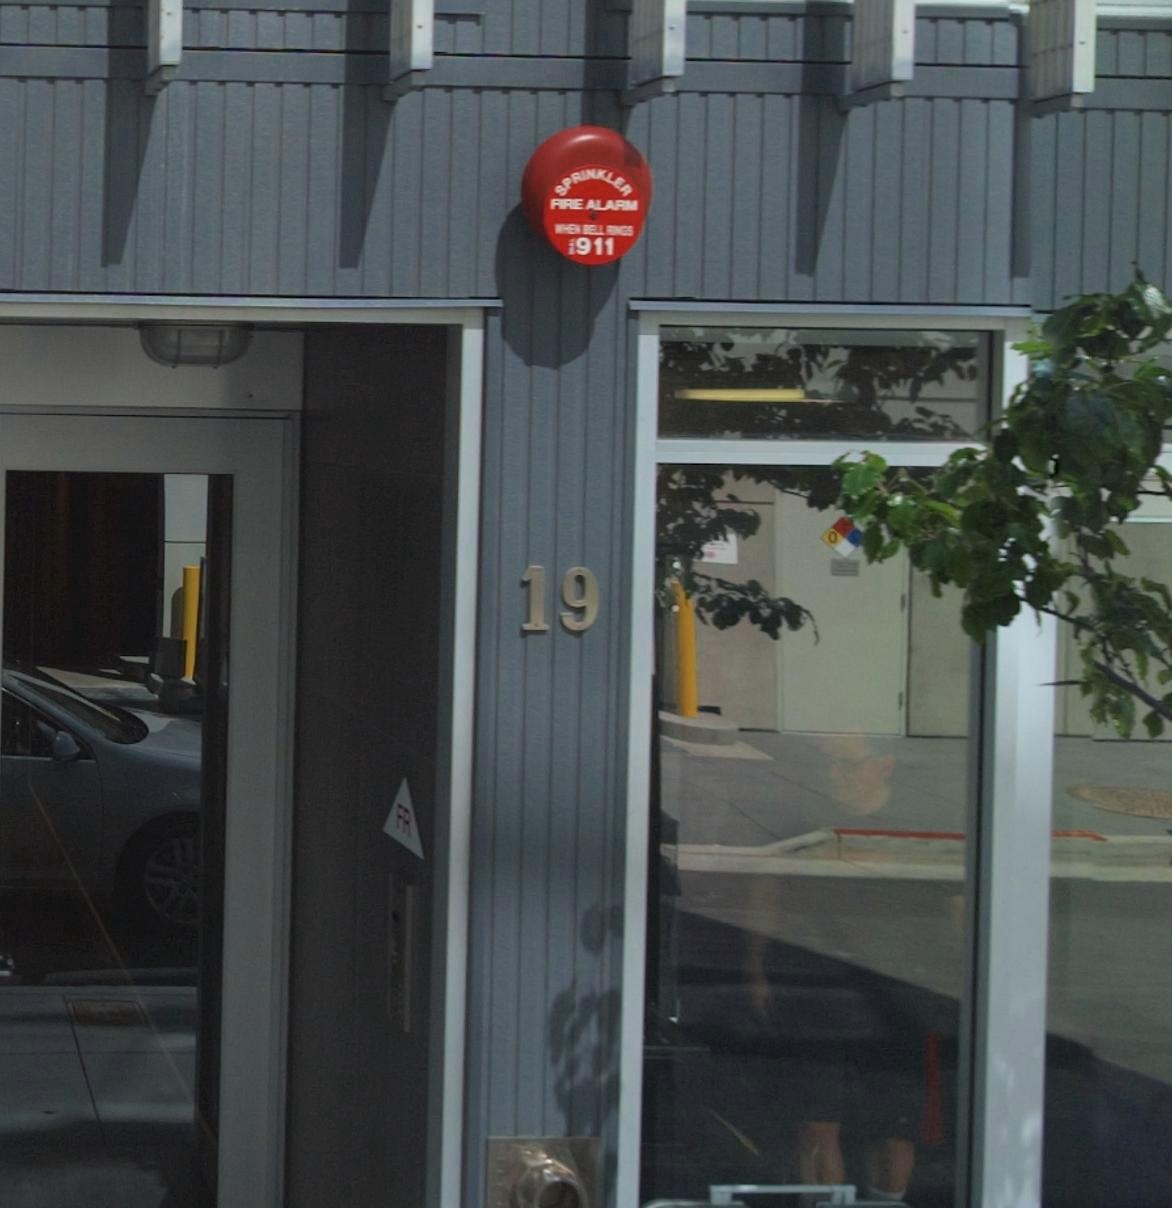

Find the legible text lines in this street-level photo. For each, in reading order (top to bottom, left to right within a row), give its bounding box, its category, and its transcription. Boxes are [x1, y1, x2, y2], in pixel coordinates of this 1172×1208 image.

[553, 165, 636, 198] None: SPRINKLER
[548, 197, 639, 212] None: FIRE ALARM
[552, 222, 636, 238] None: WHEN BELL RINGS
[574, 236, 615, 258] None: 911
[827, 531, 839, 544] None: 0
[518, 563, 601, 633] StreetNumber: 19
[394, 802, 412, 841] None: FR